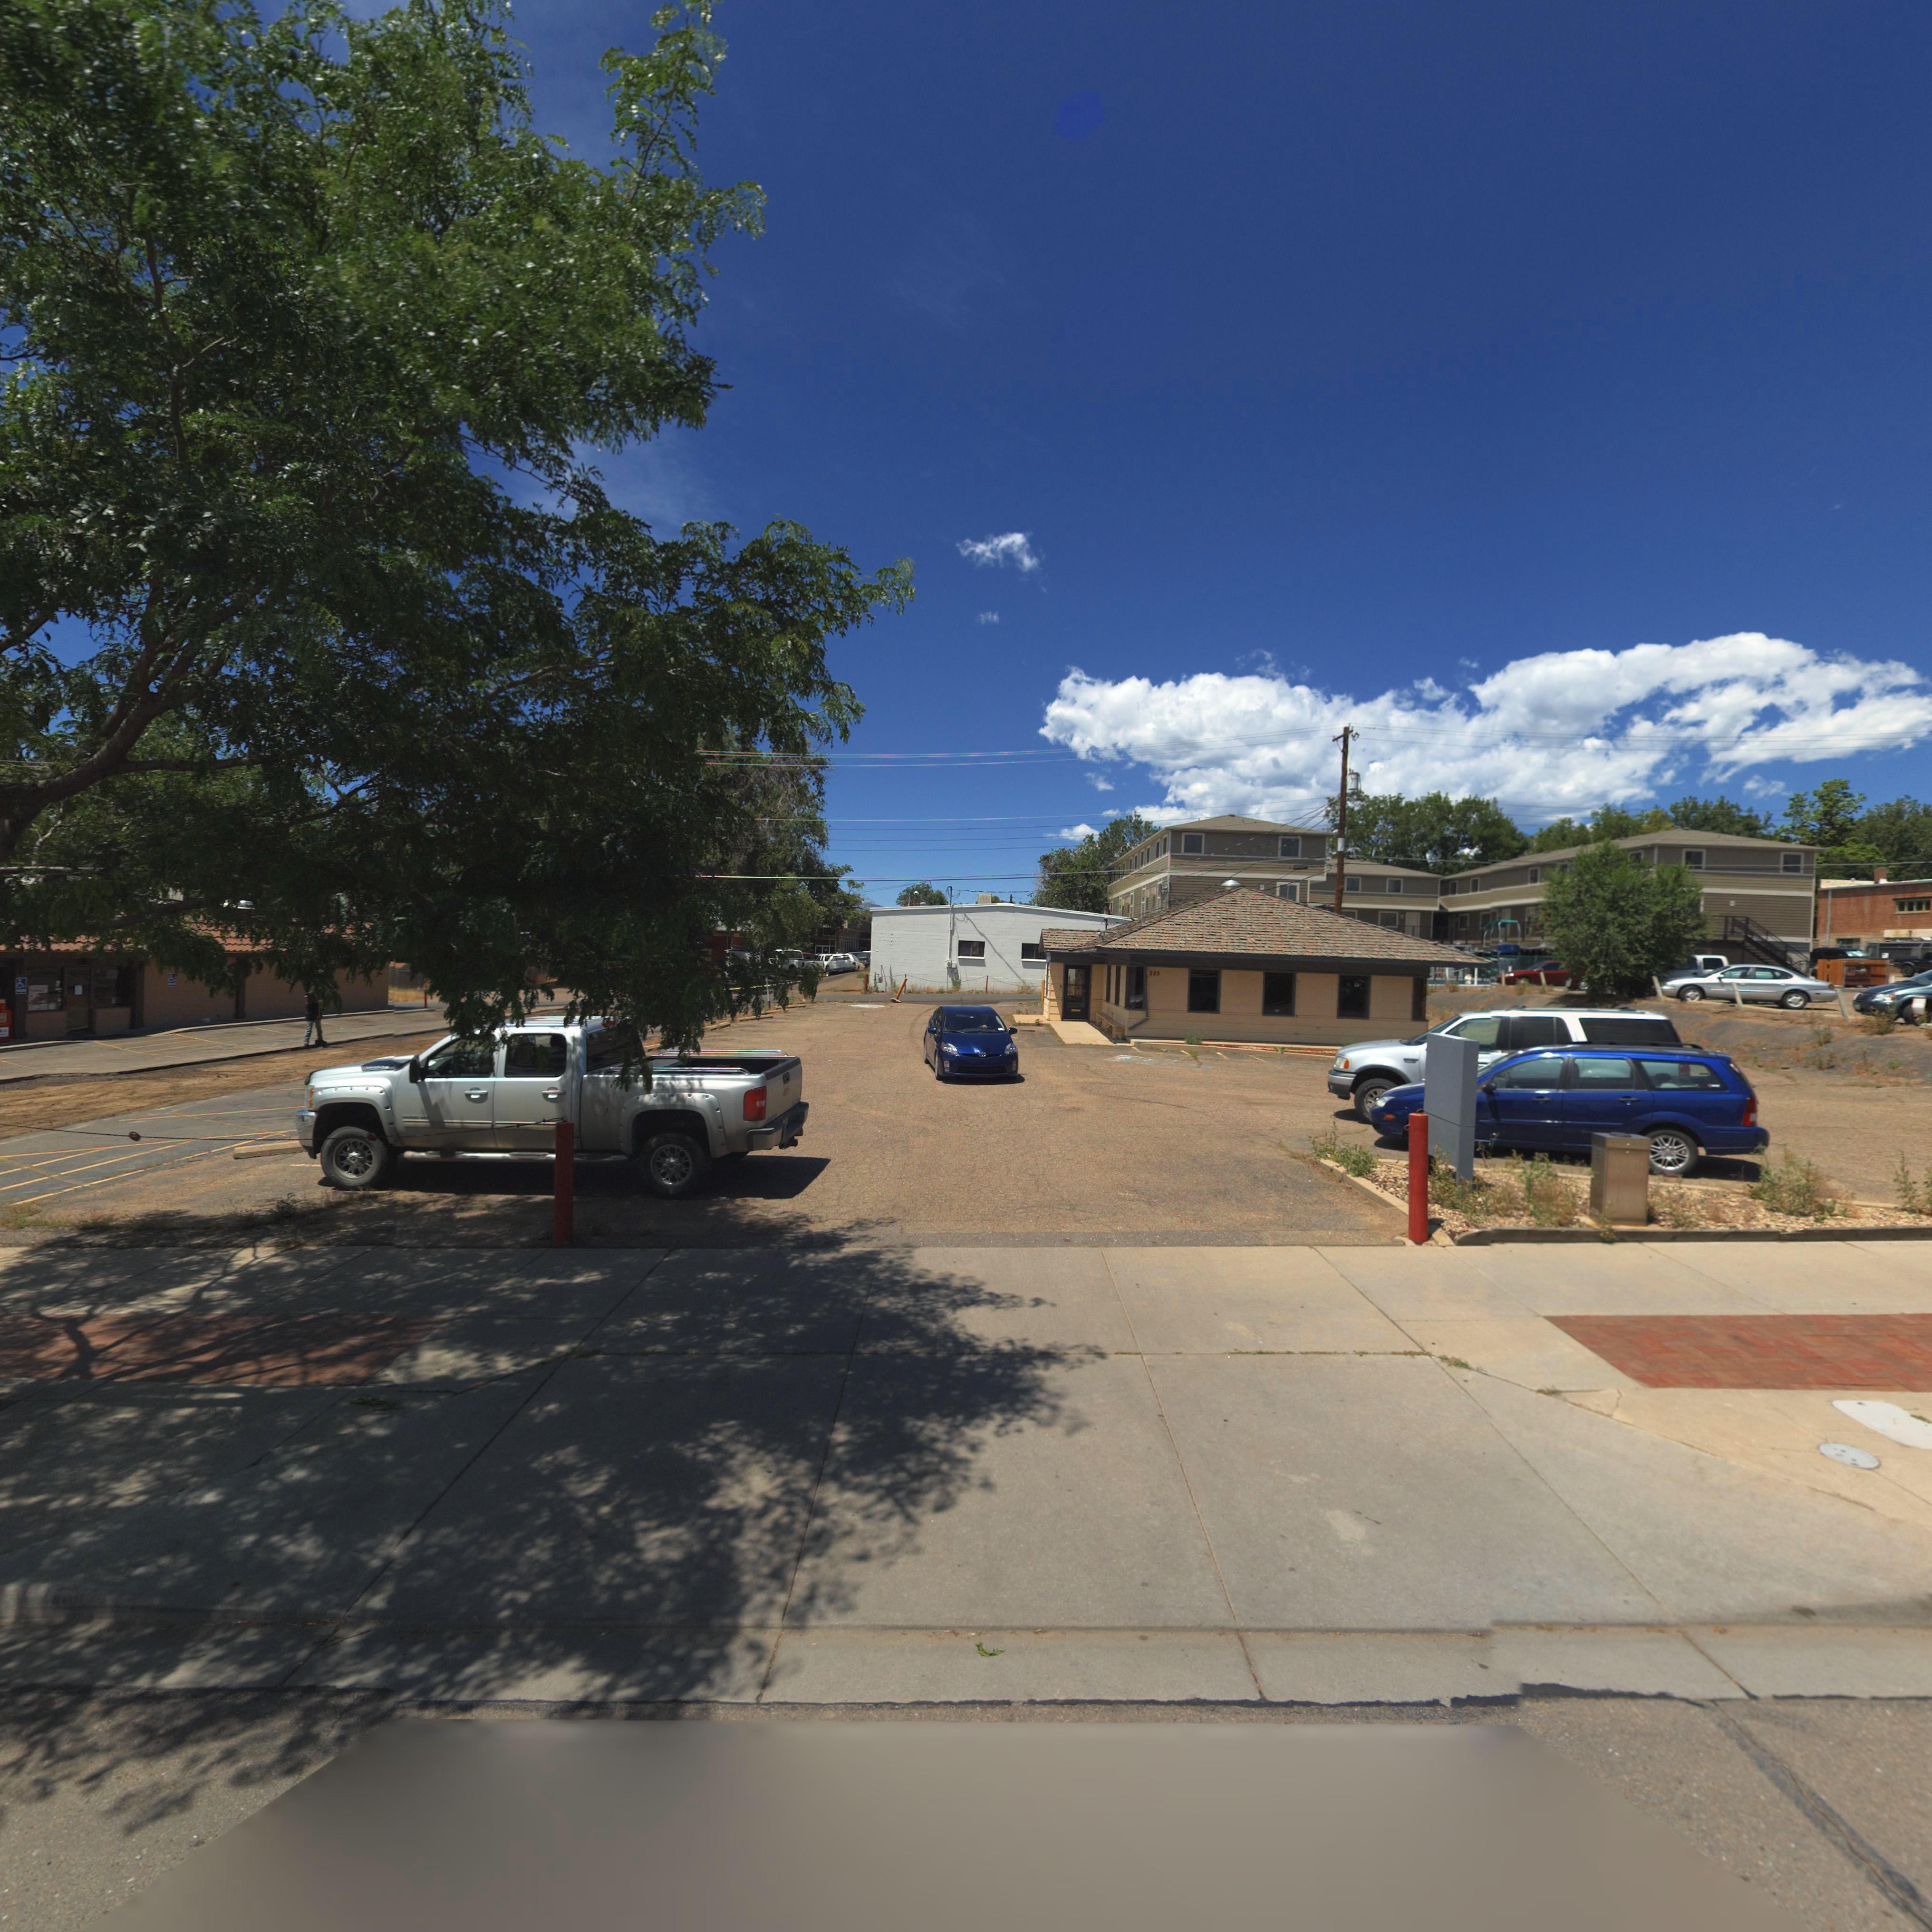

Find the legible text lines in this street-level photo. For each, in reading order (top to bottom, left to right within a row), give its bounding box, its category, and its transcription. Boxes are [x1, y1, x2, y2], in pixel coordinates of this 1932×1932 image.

[1148, 970, 1160, 976] StreetNumber: 225